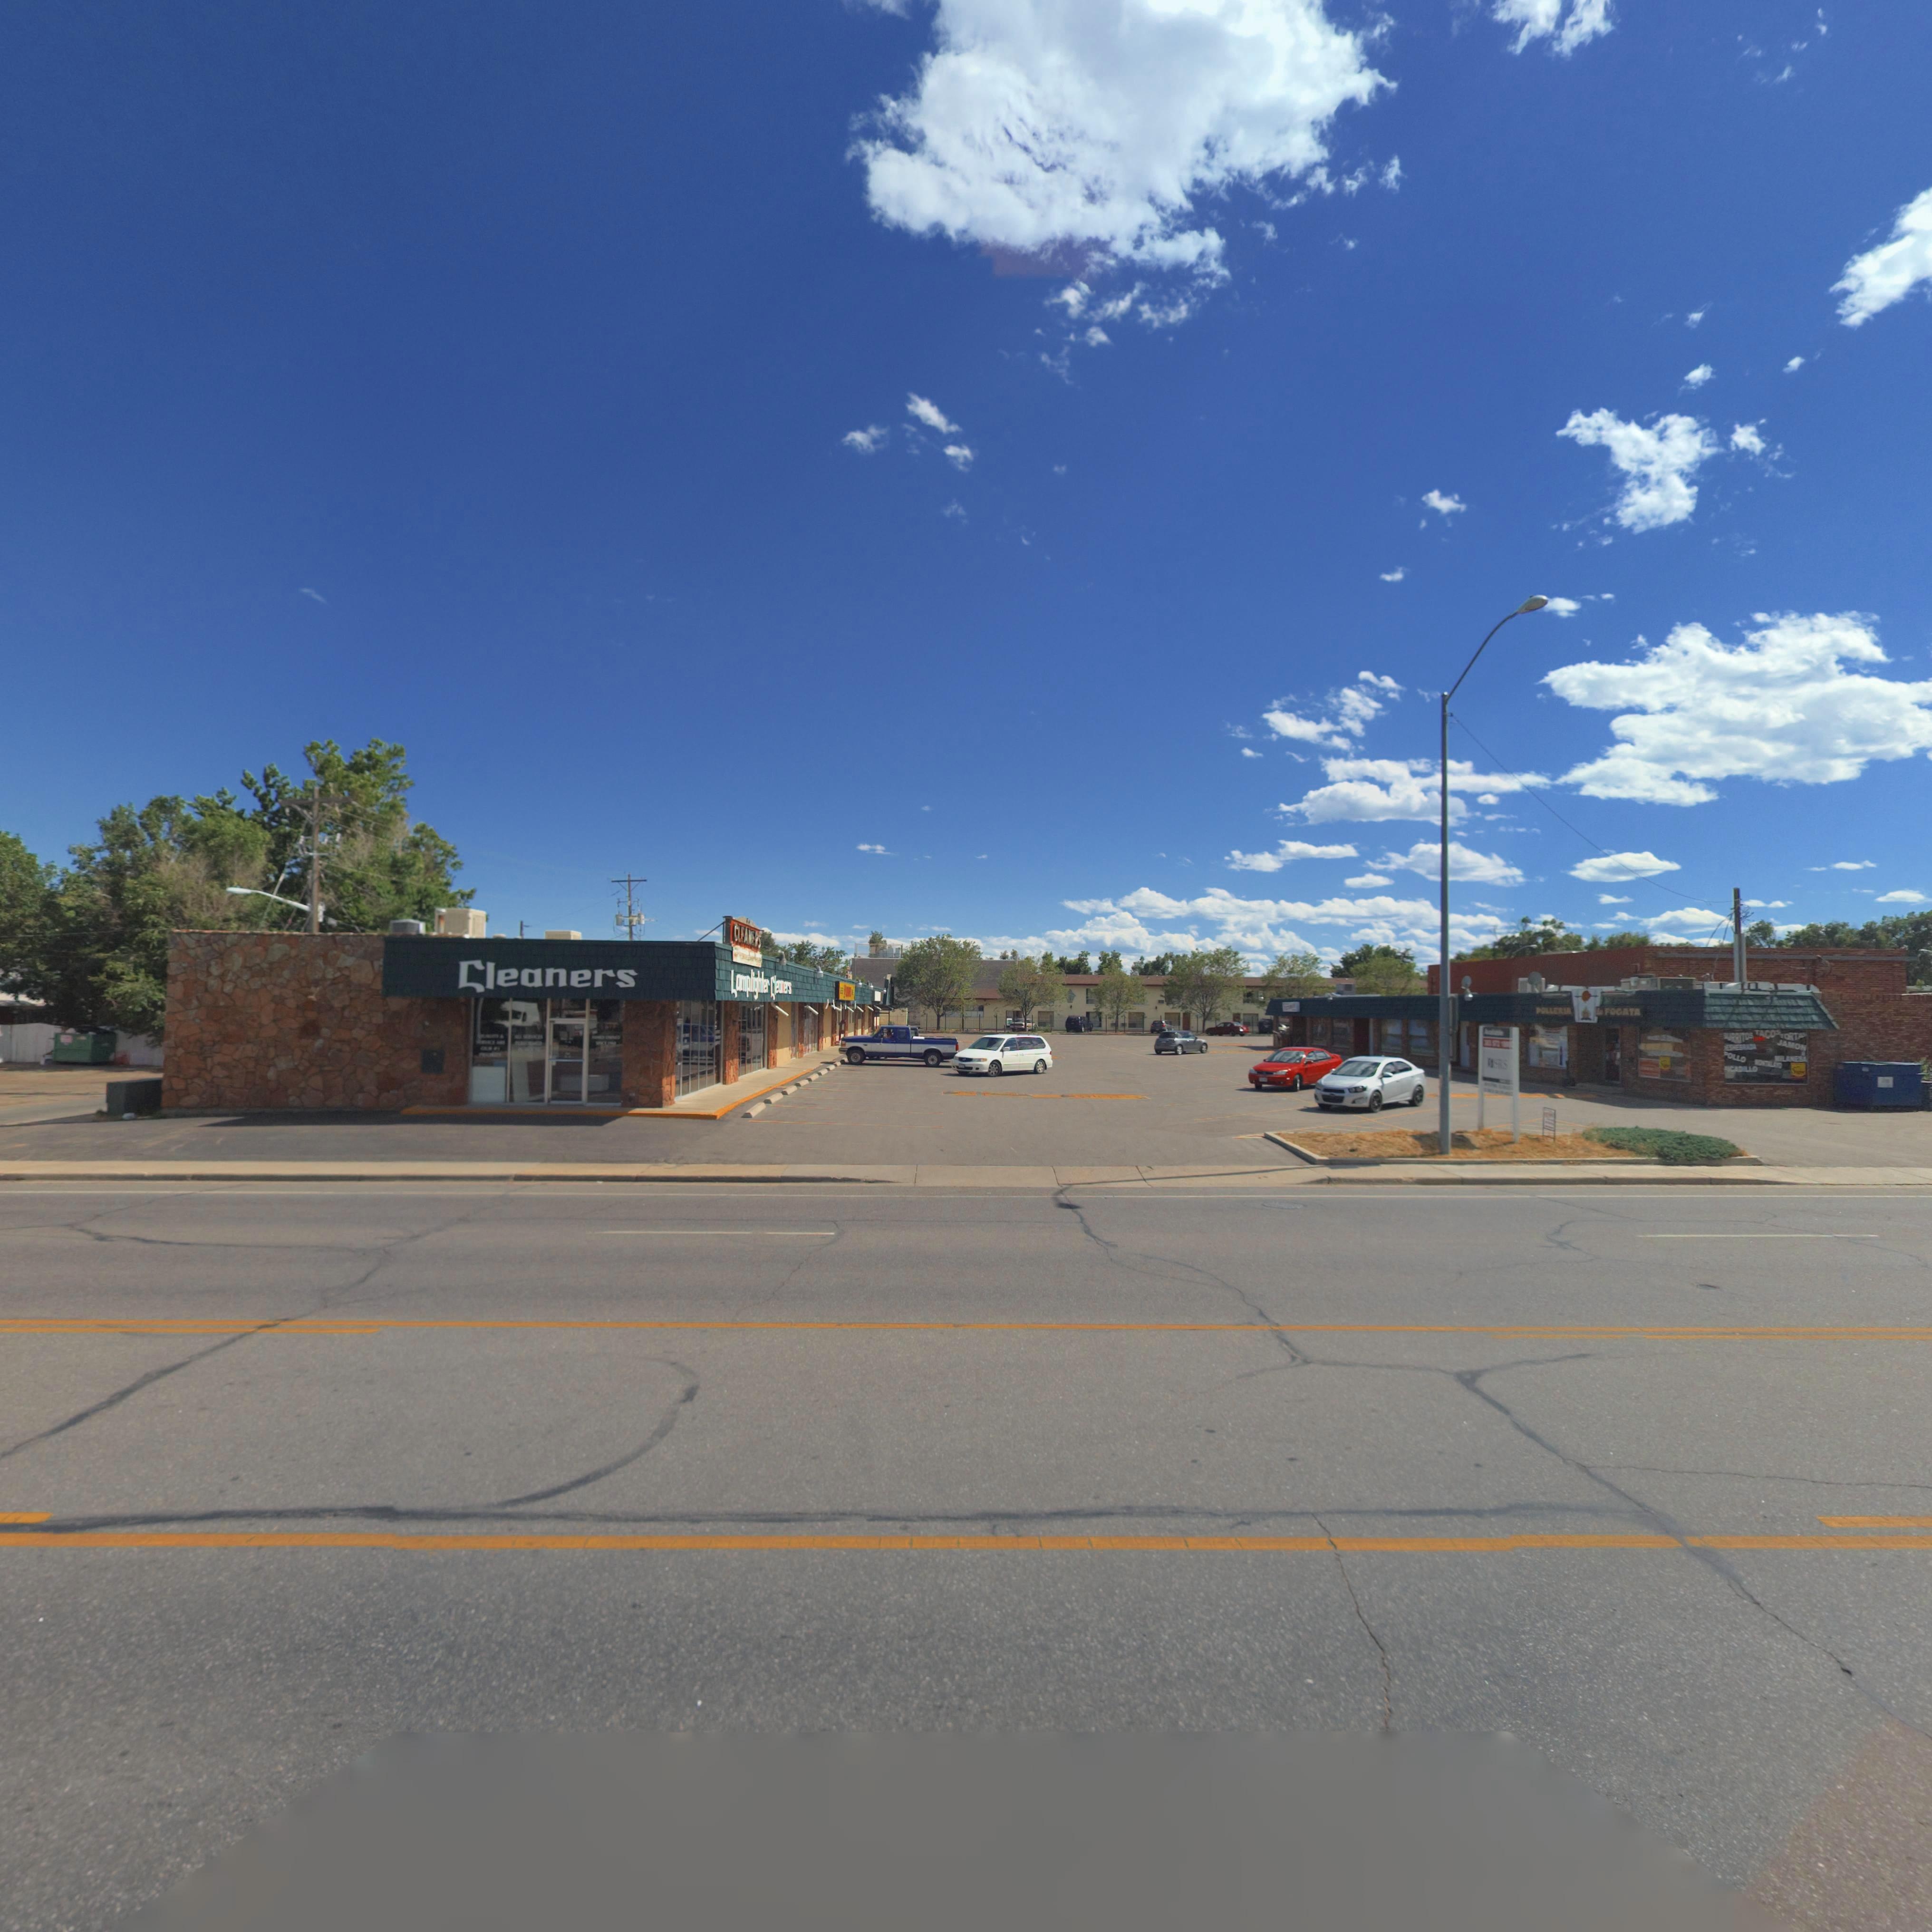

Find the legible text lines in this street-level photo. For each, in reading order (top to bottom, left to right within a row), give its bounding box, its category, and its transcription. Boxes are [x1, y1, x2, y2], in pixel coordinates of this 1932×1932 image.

[729, 968, 792, 1000] BusinessName: Lamplighter Cle**e*s
[1535, 1006, 1573, 1015] BusinessName: POLLERIA
[1594, 1006, 1642, 1017] BusinessName: la FOGATA